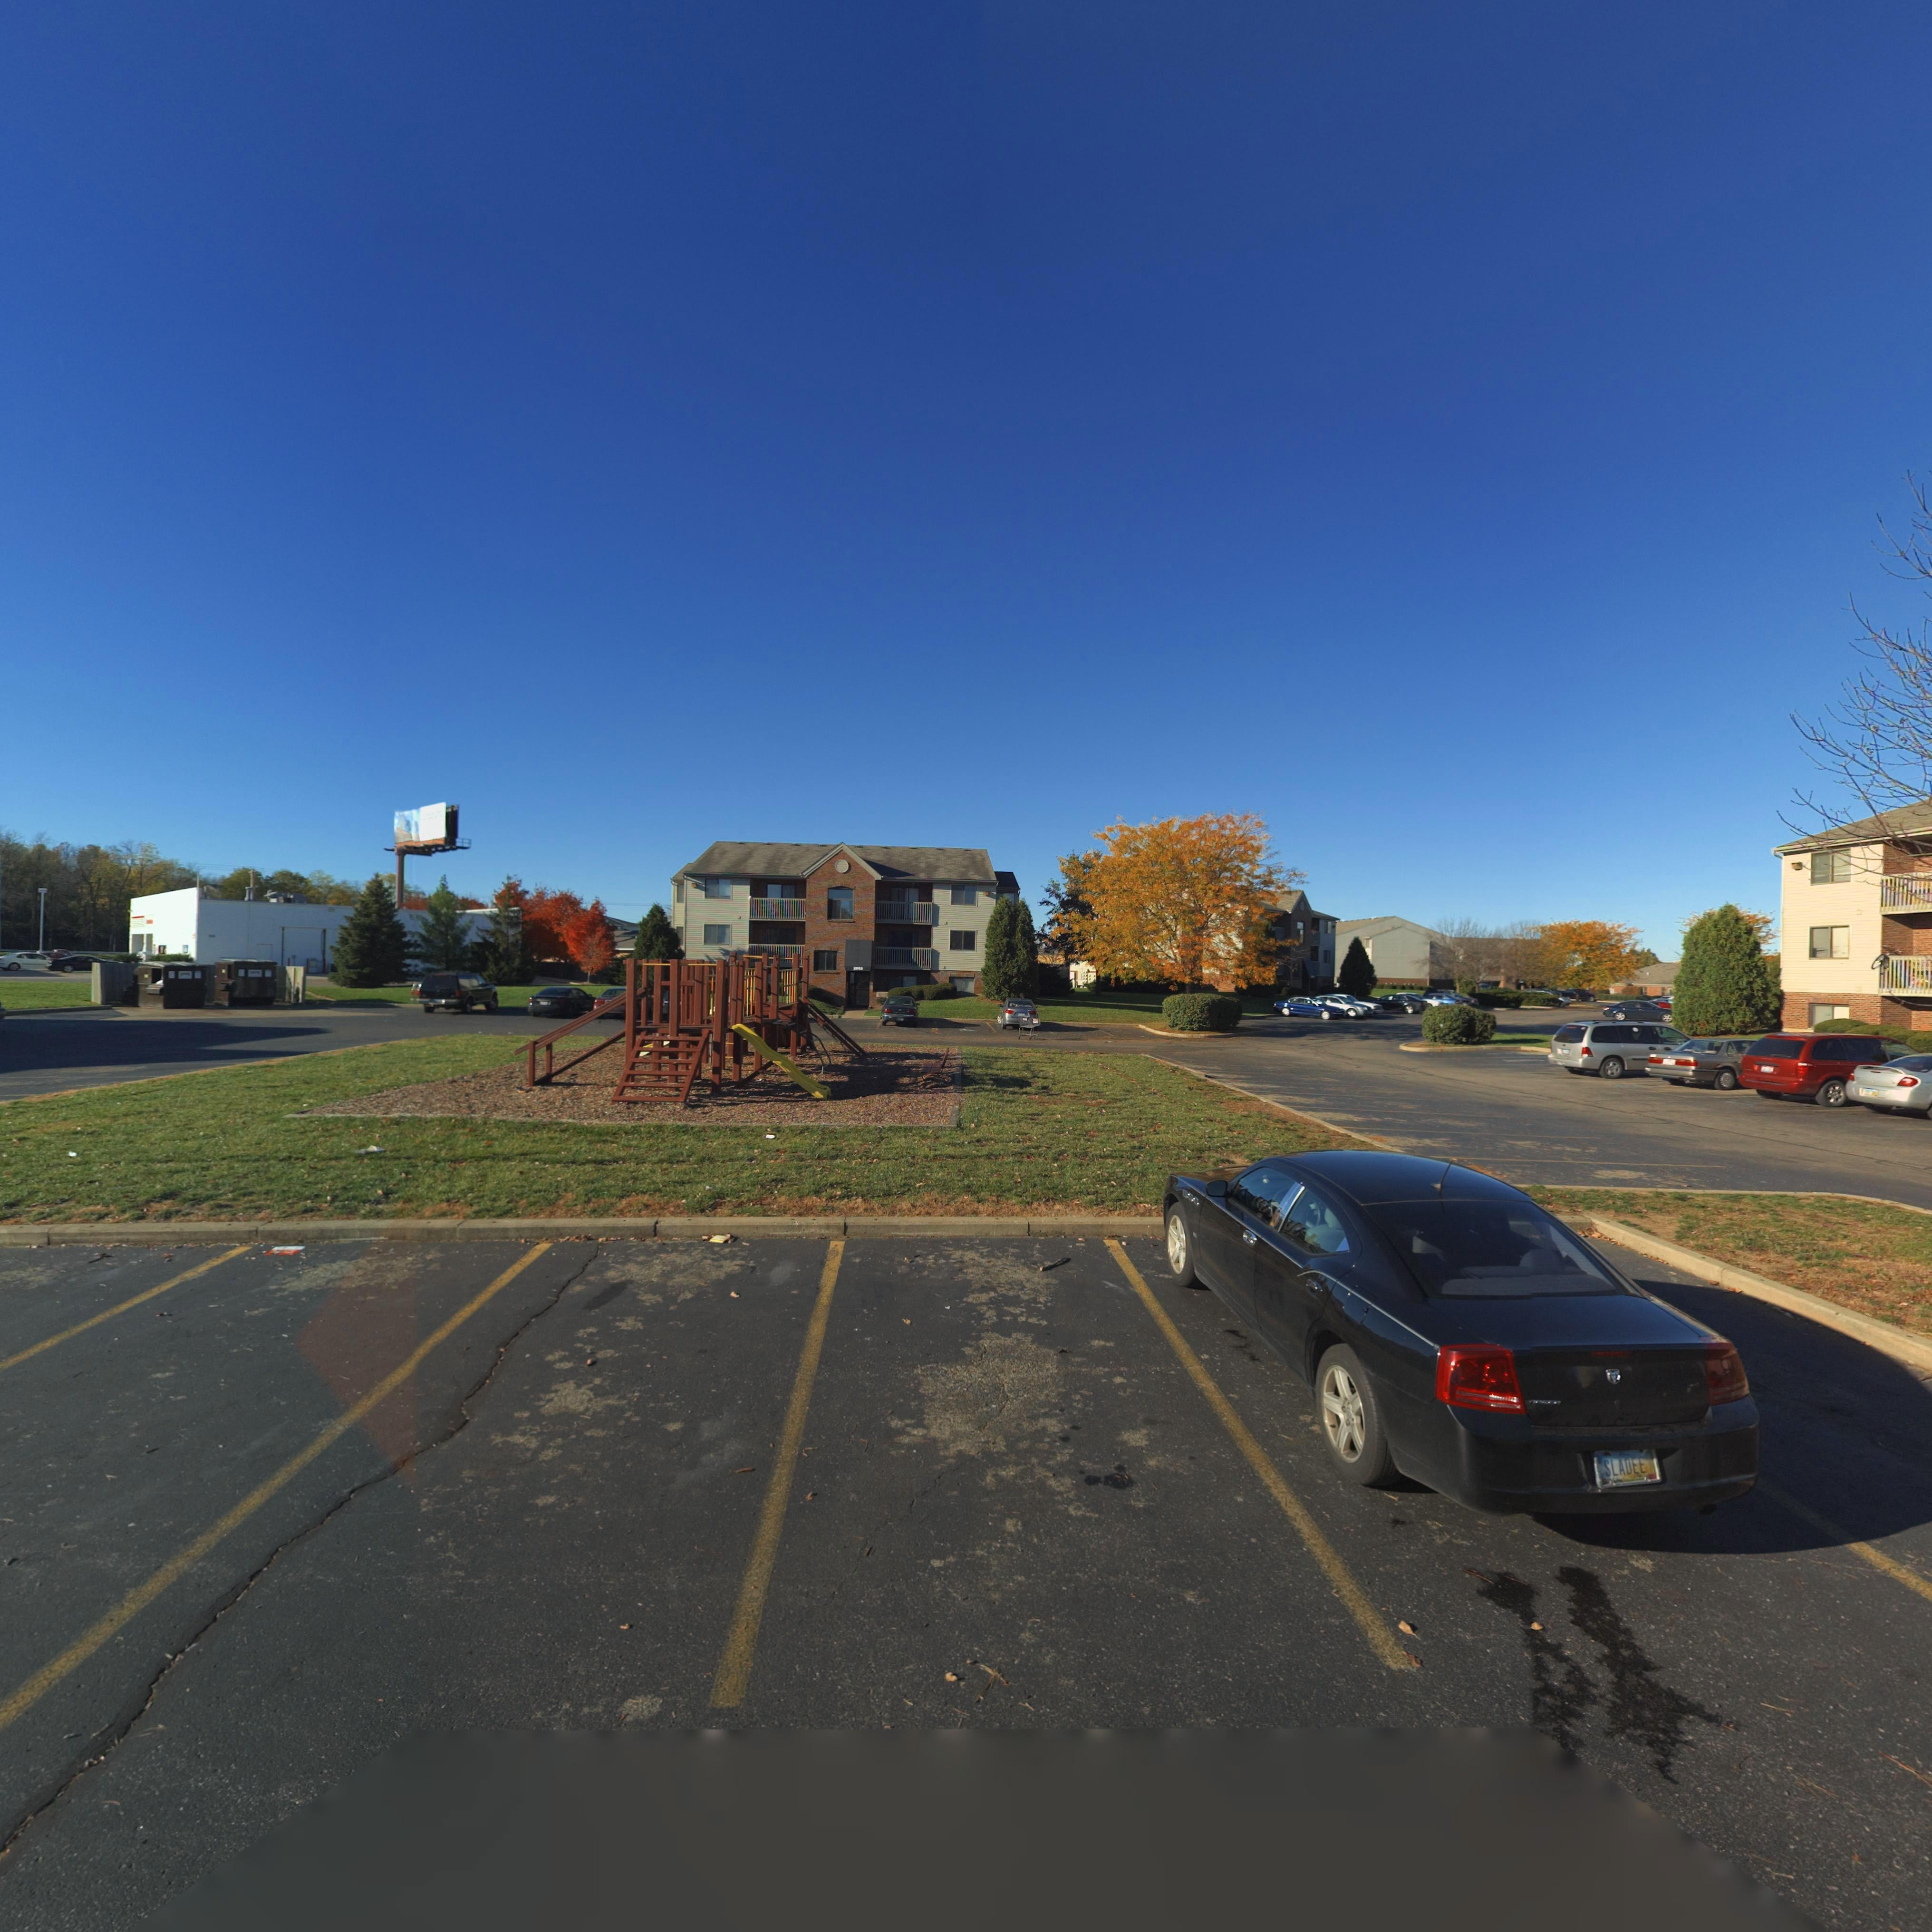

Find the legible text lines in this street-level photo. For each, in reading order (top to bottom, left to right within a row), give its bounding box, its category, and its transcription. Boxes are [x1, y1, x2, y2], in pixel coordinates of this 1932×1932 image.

[853, 966, 863, 970] StreetNumber: 2***